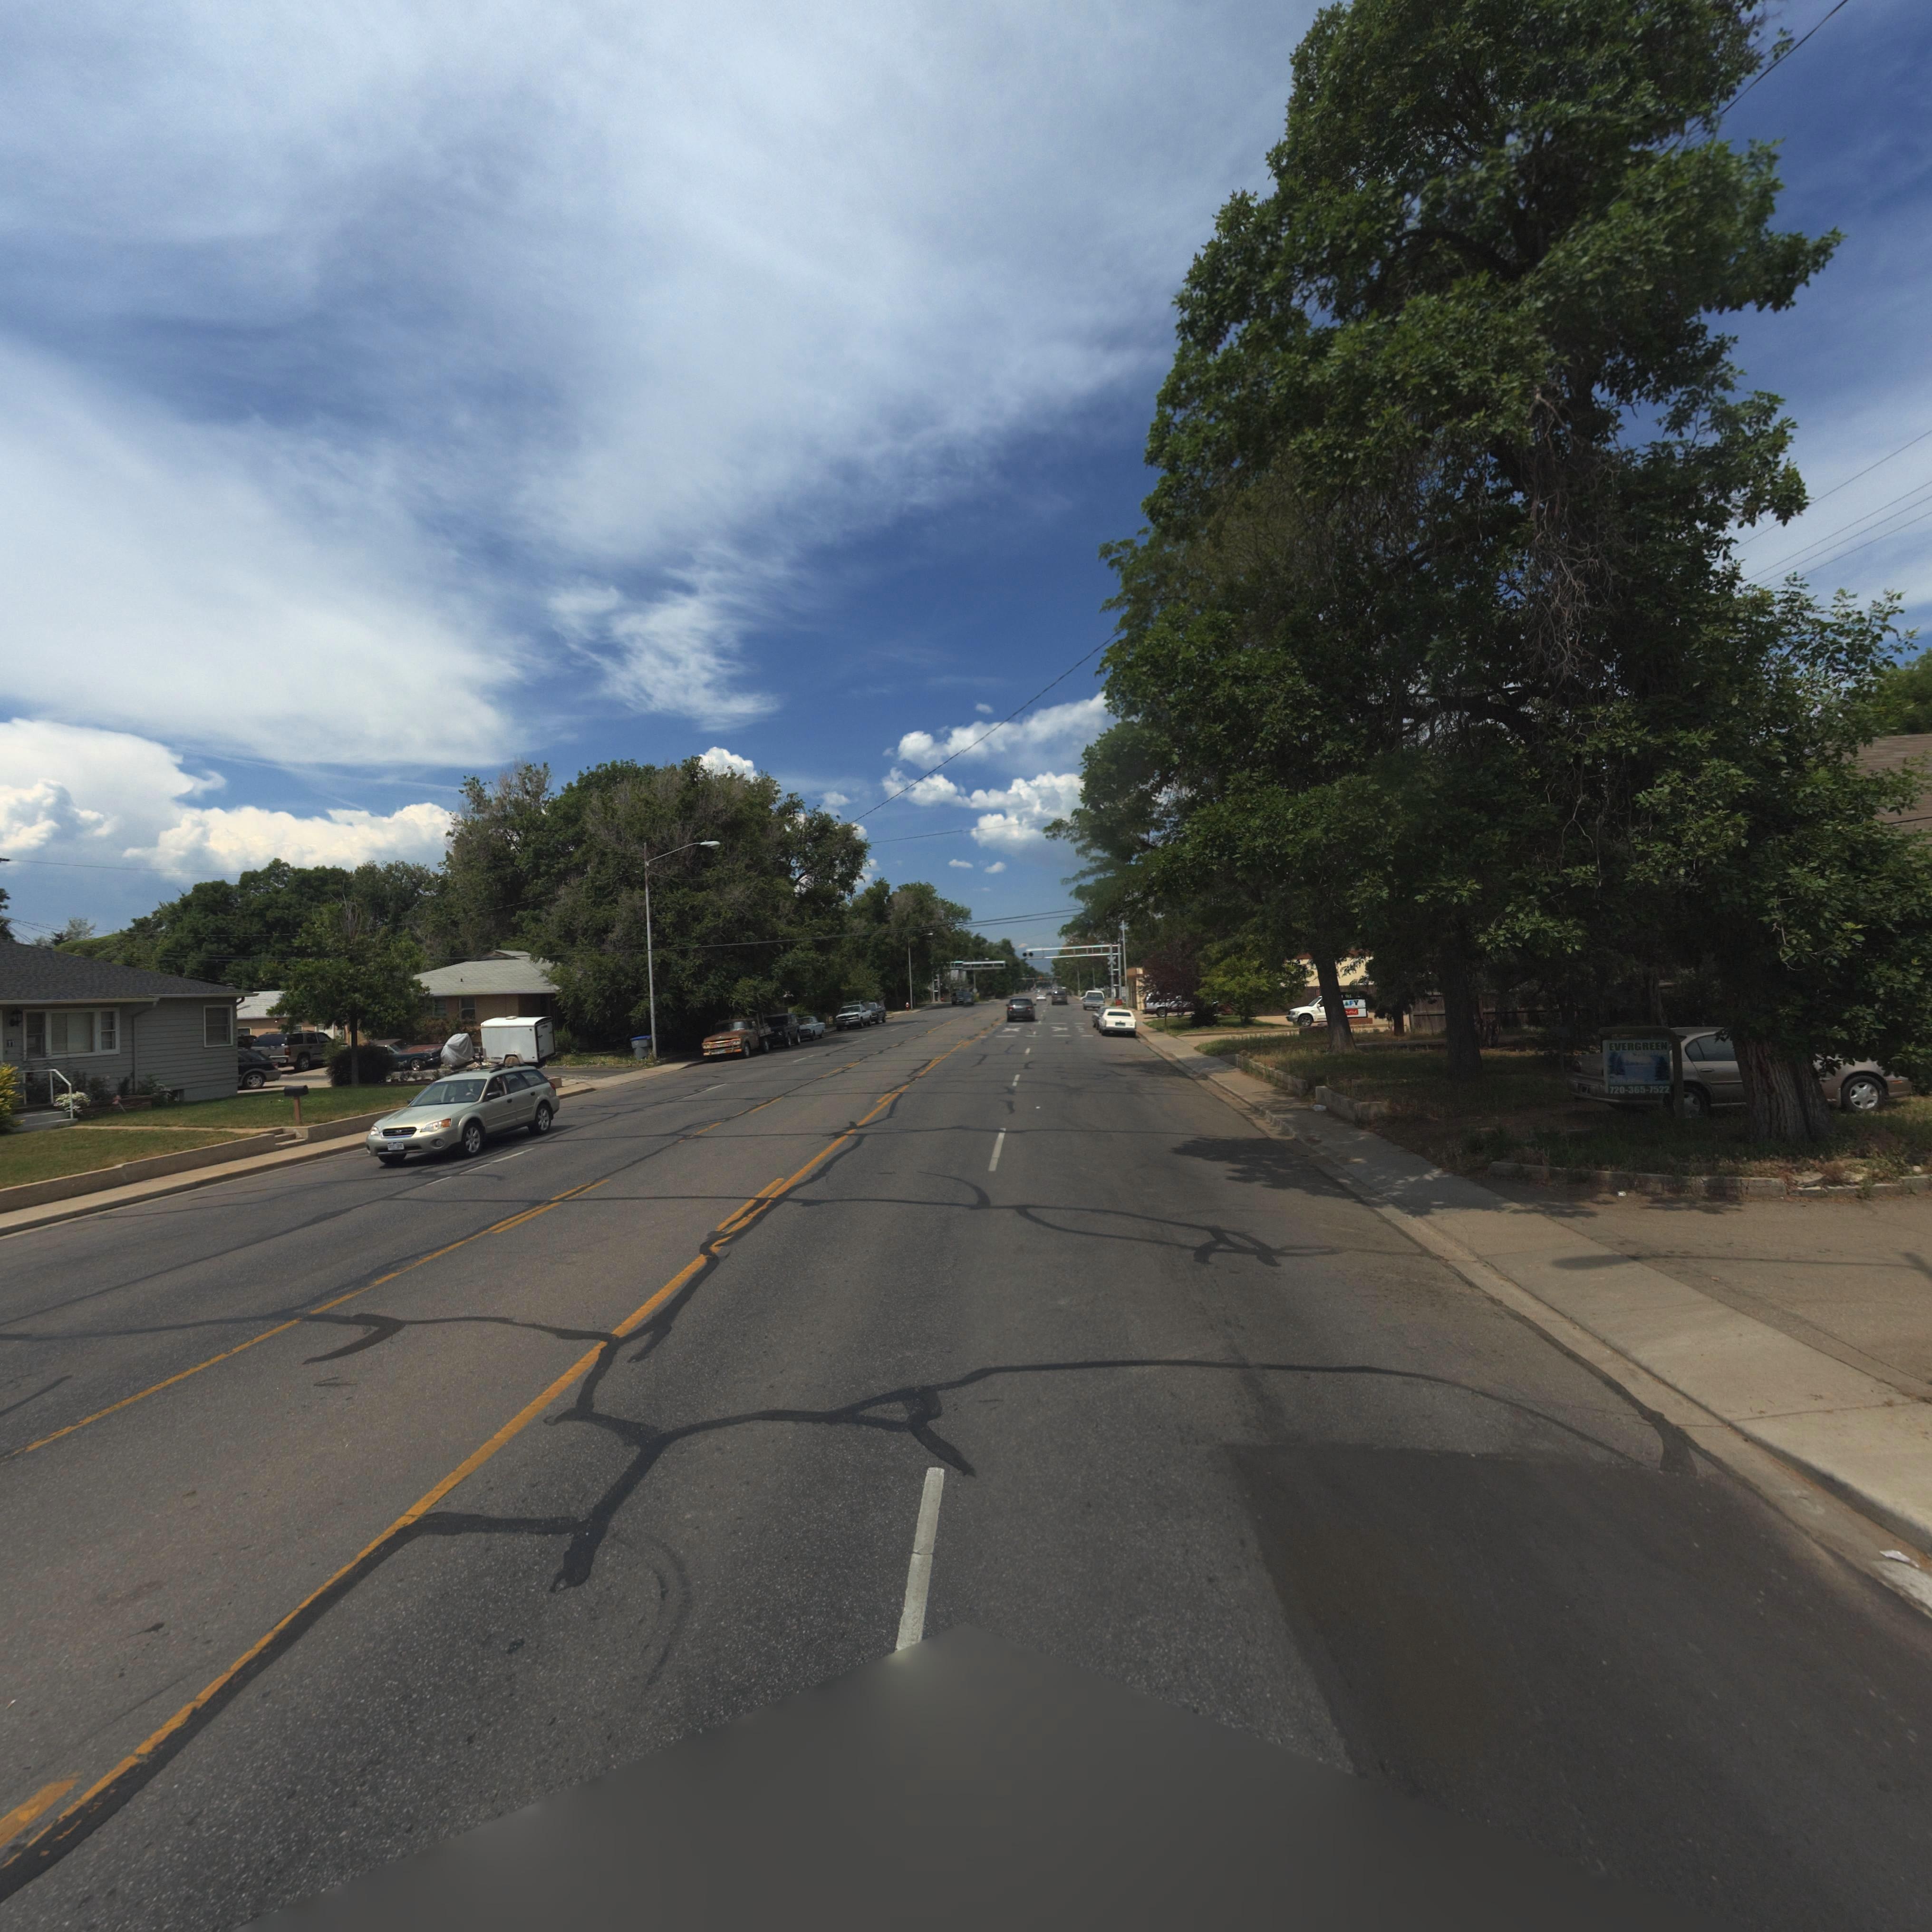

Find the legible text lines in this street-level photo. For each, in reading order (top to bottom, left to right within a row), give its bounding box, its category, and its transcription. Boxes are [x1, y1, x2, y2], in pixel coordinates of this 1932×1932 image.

[1349, 1000, 1359, 1005] BusinessName: FY
[7, 1040, 14, 1047] StreetNumber: 7*
[1608, 1041, 1668, 1051] BusinessName: EVERGREEN